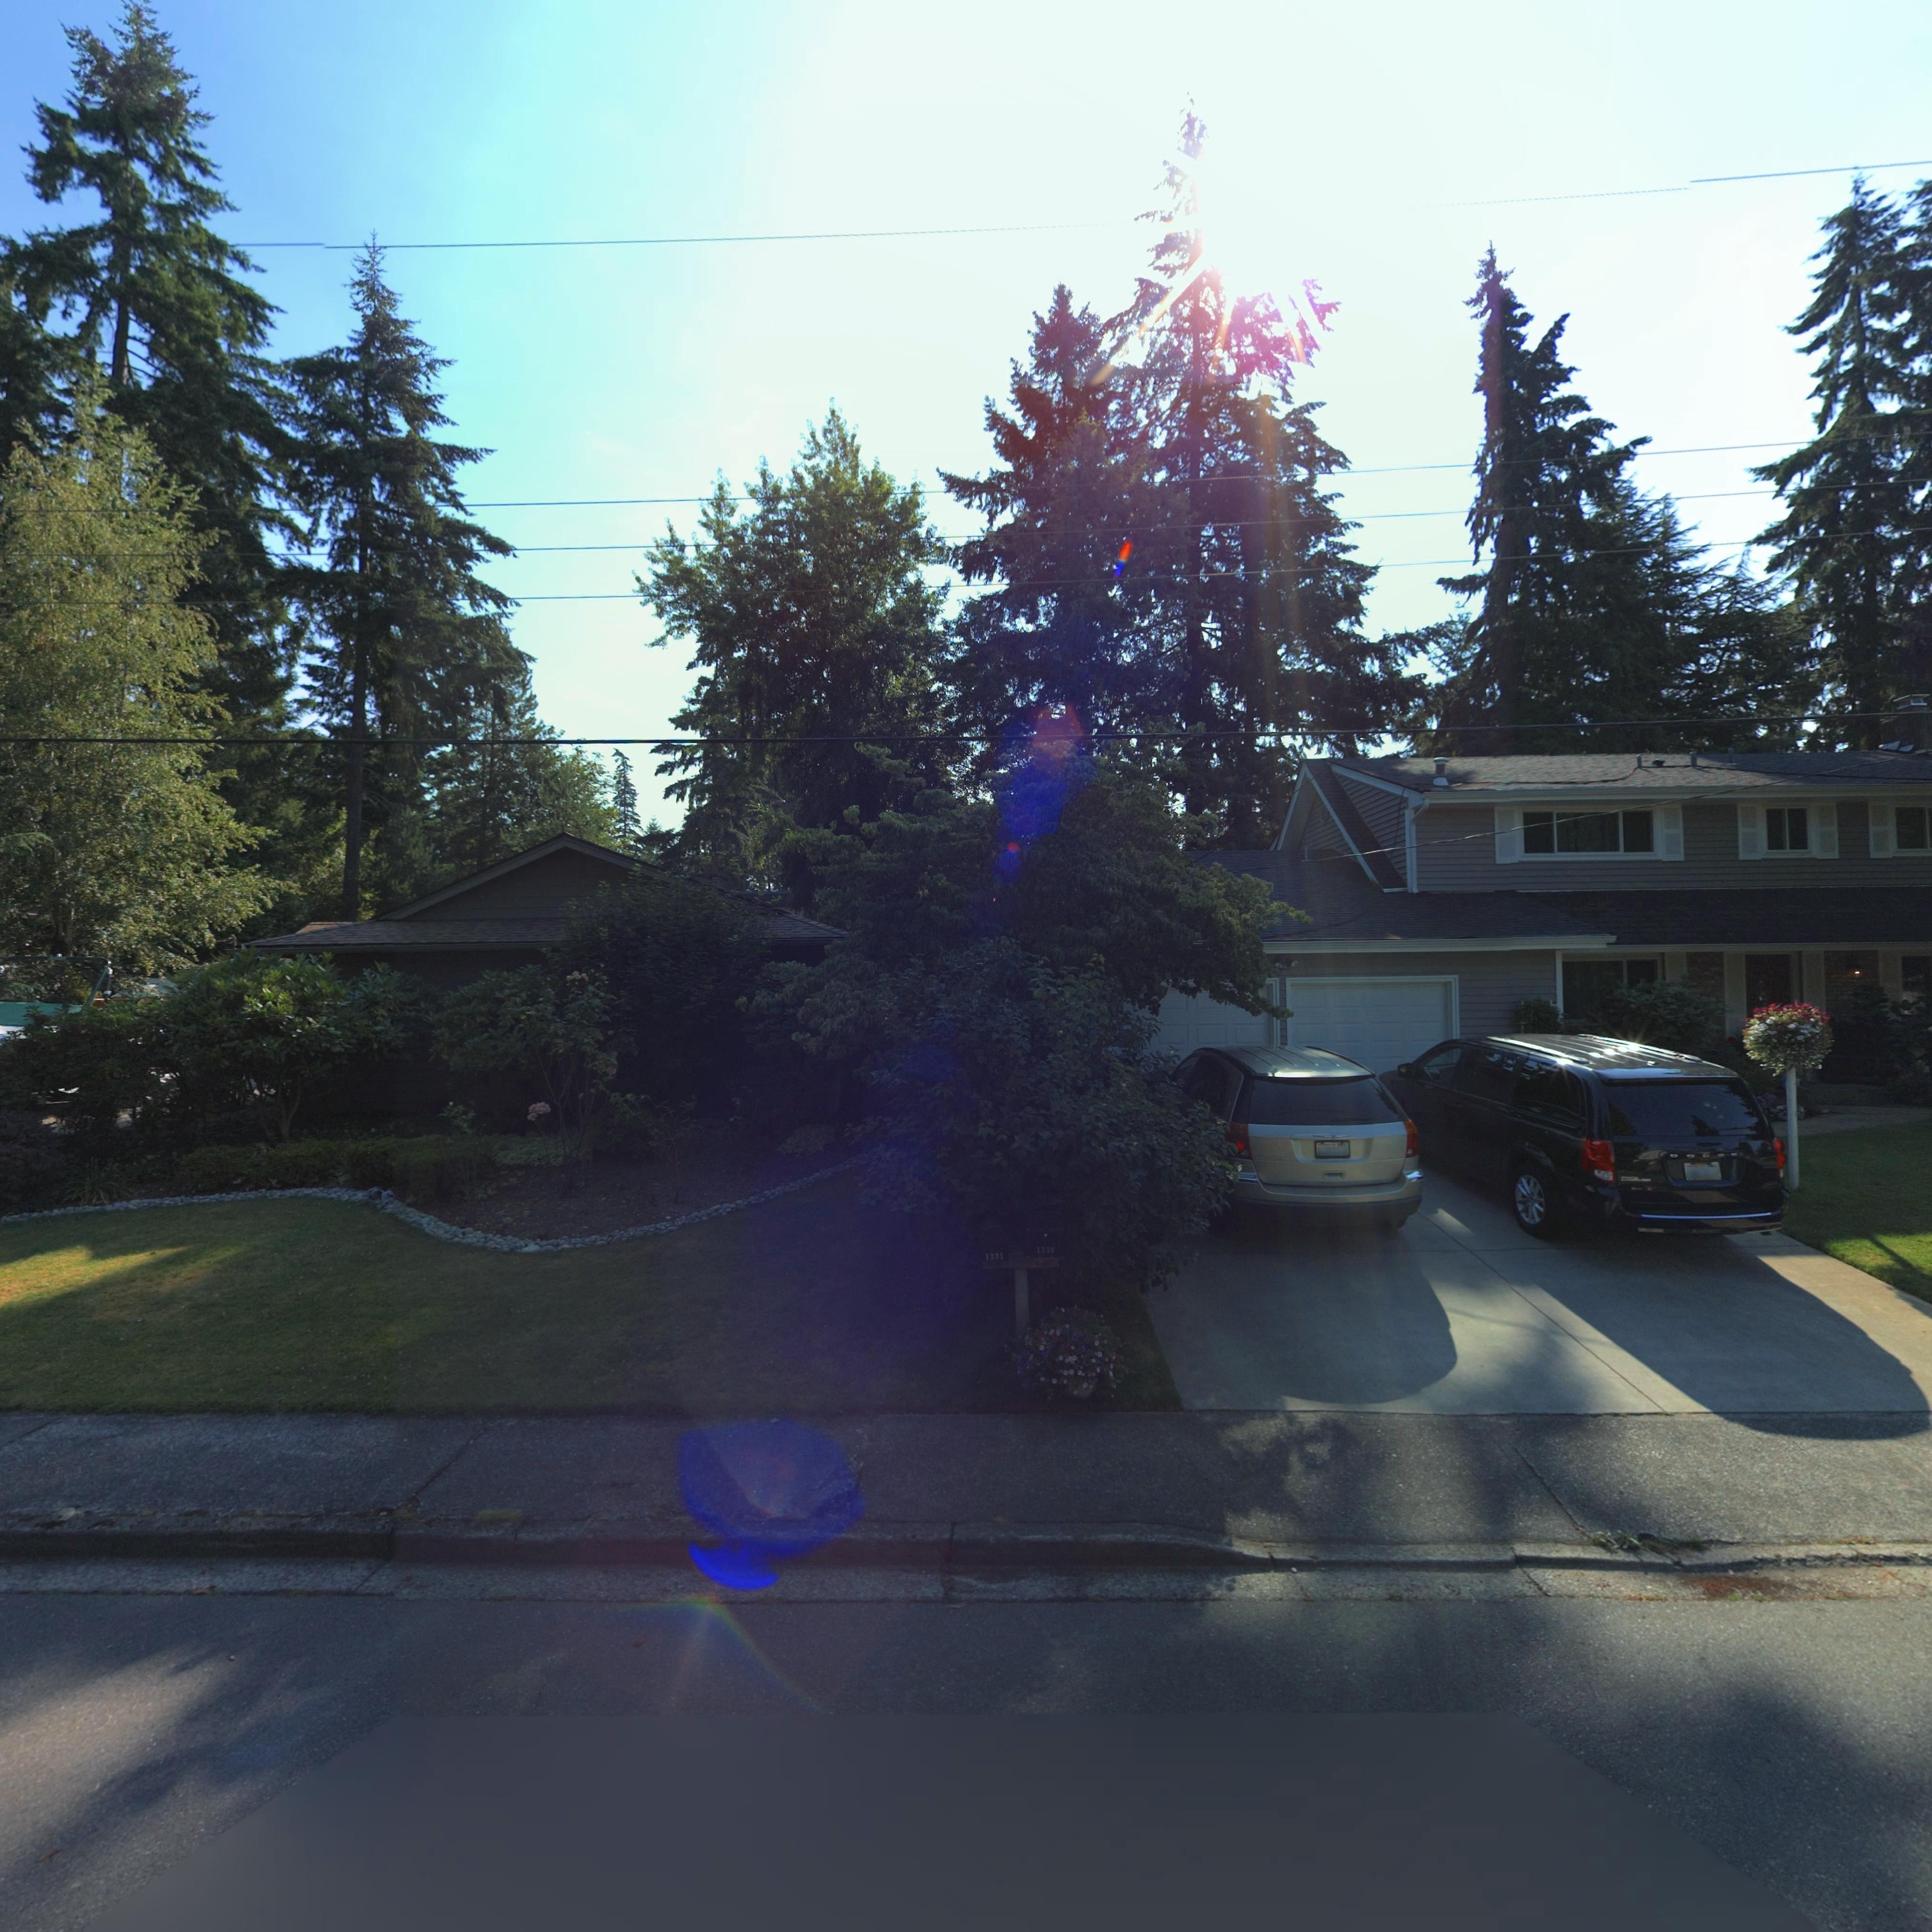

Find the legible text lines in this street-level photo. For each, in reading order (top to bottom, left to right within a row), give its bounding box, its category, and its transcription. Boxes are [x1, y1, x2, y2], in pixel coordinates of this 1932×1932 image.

[1037, 1246, 1055, 1255] StreetNumber: 1330
[985, 1251, 1004, 1260] StreetNumber: 1331